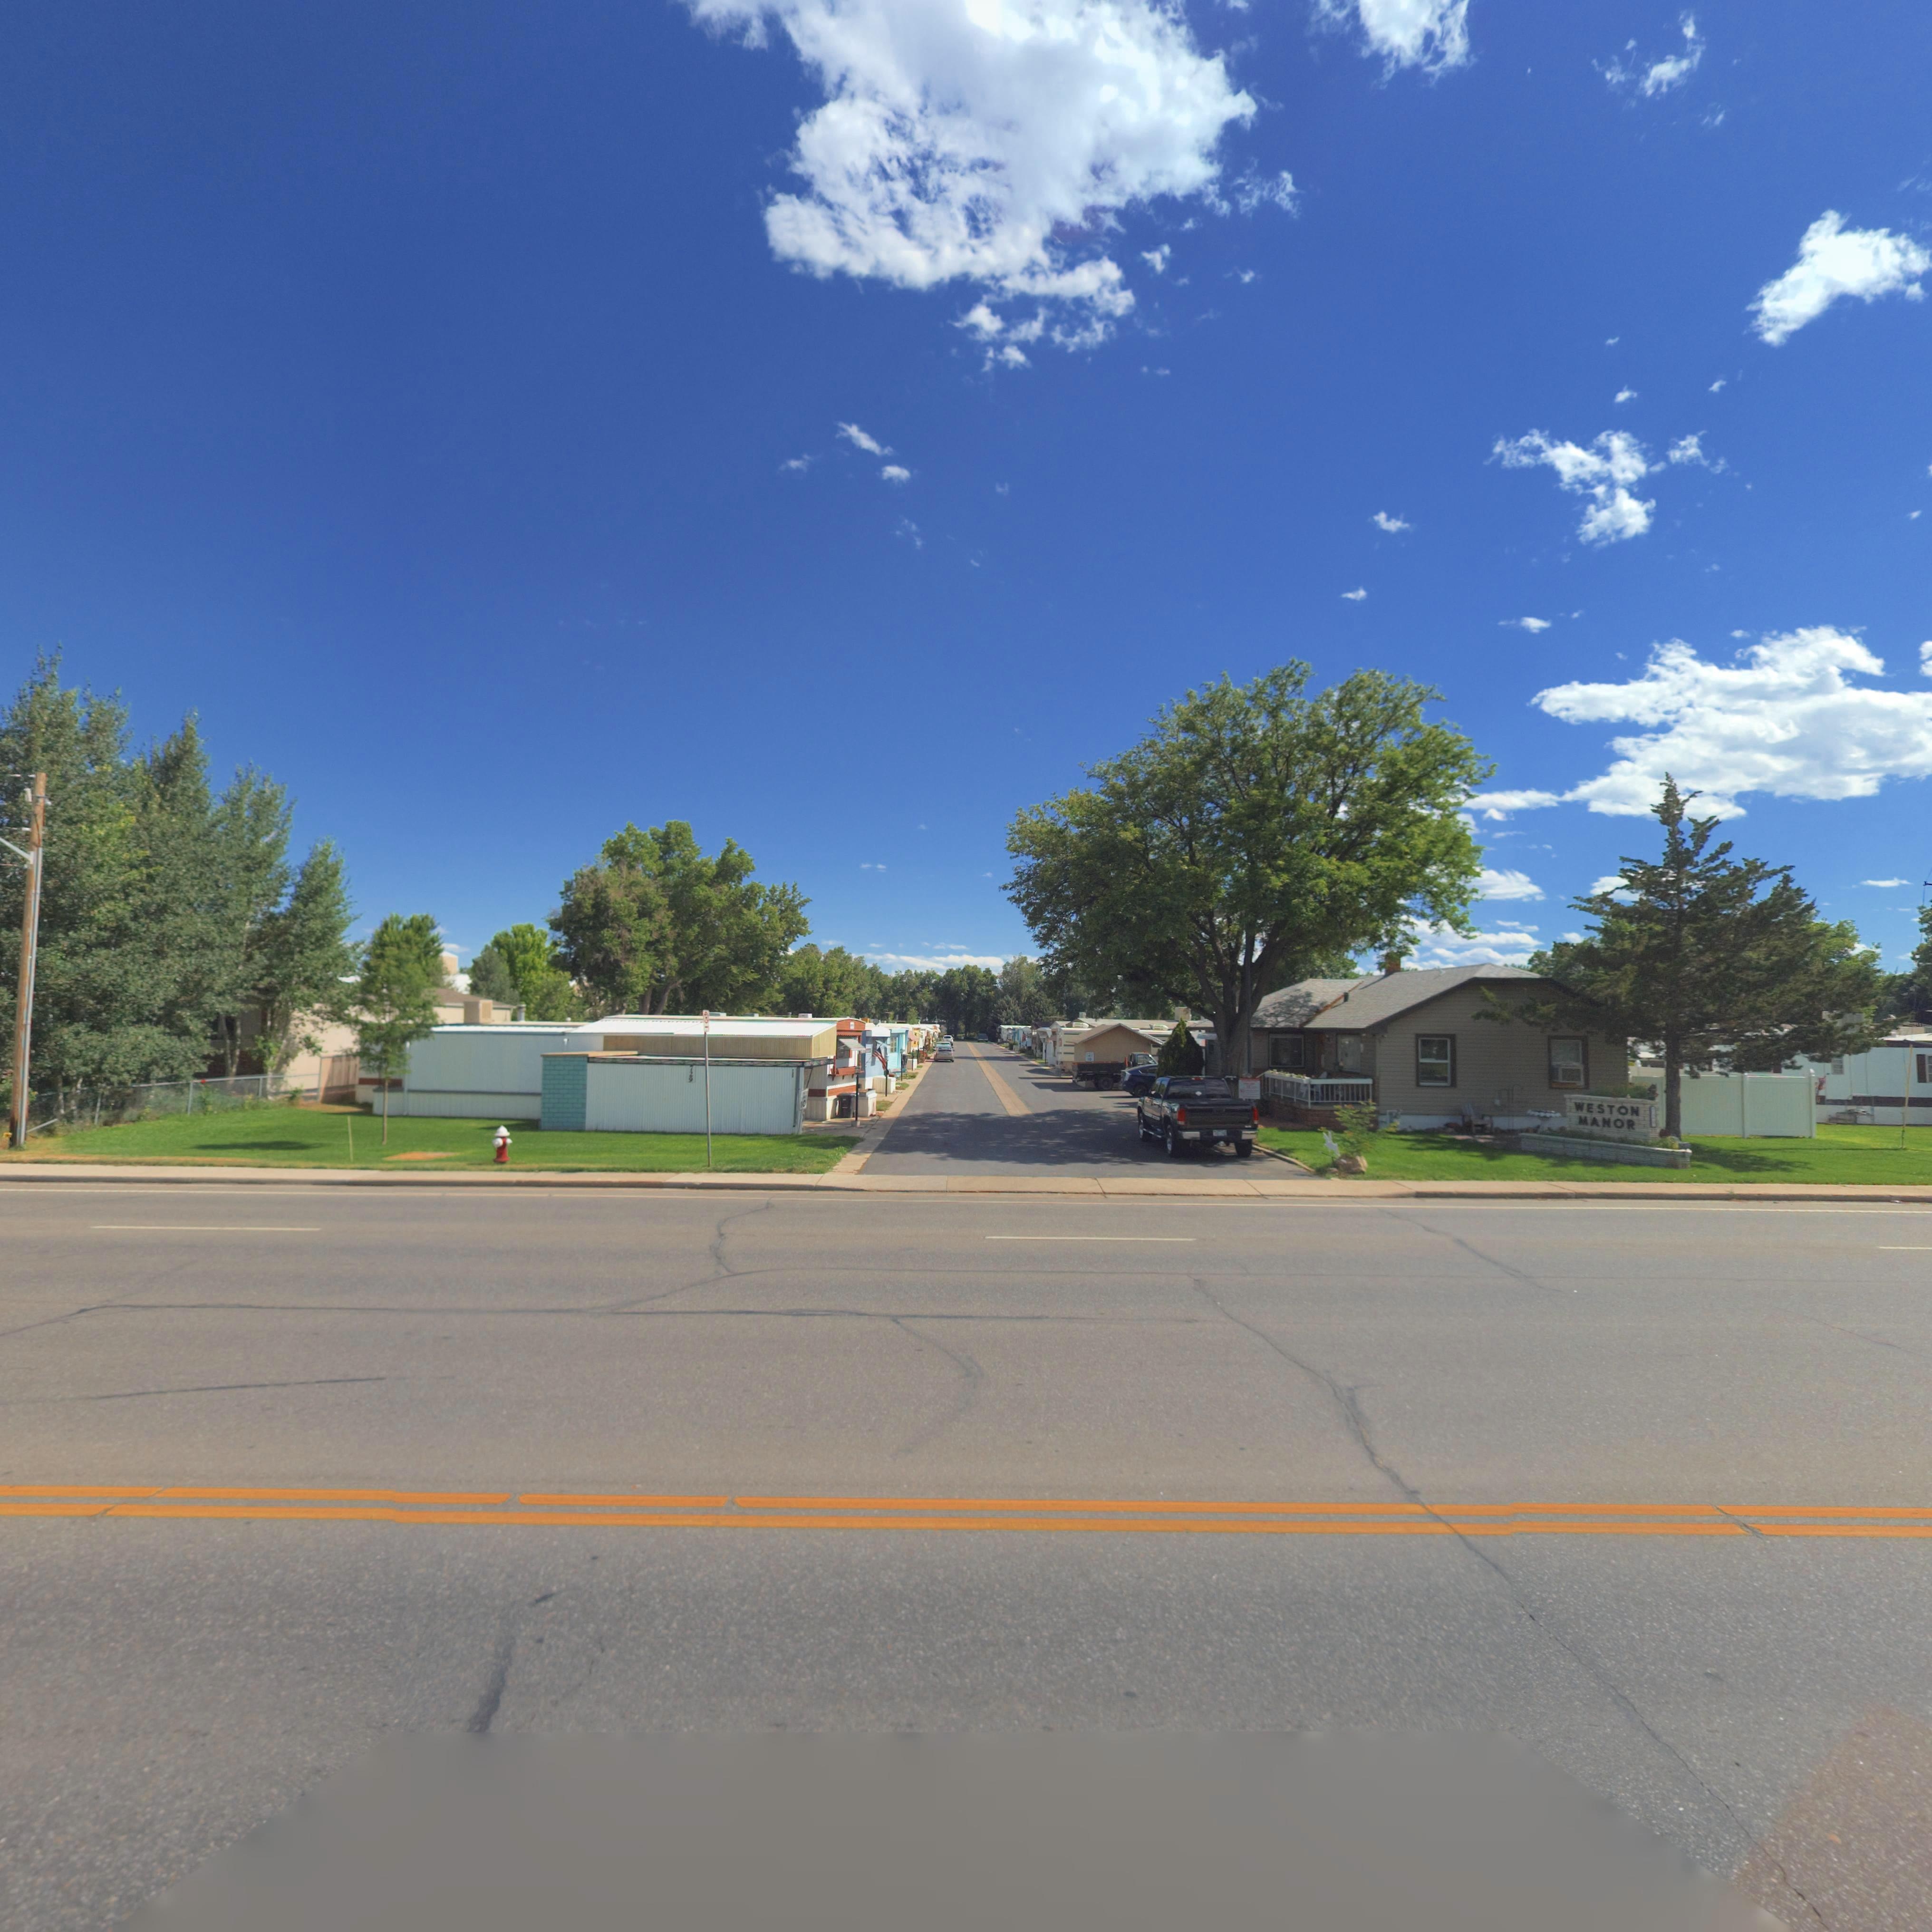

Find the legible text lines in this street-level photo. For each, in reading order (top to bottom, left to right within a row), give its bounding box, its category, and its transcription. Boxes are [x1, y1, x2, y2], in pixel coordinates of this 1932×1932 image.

[688, 1065, 694, 1083] StreetNumber: 729
[1574, 1102, 1639, 1116] BusinessName: WESTON
[1577, 1115, 1636, 1130] BusinessName: MANOR